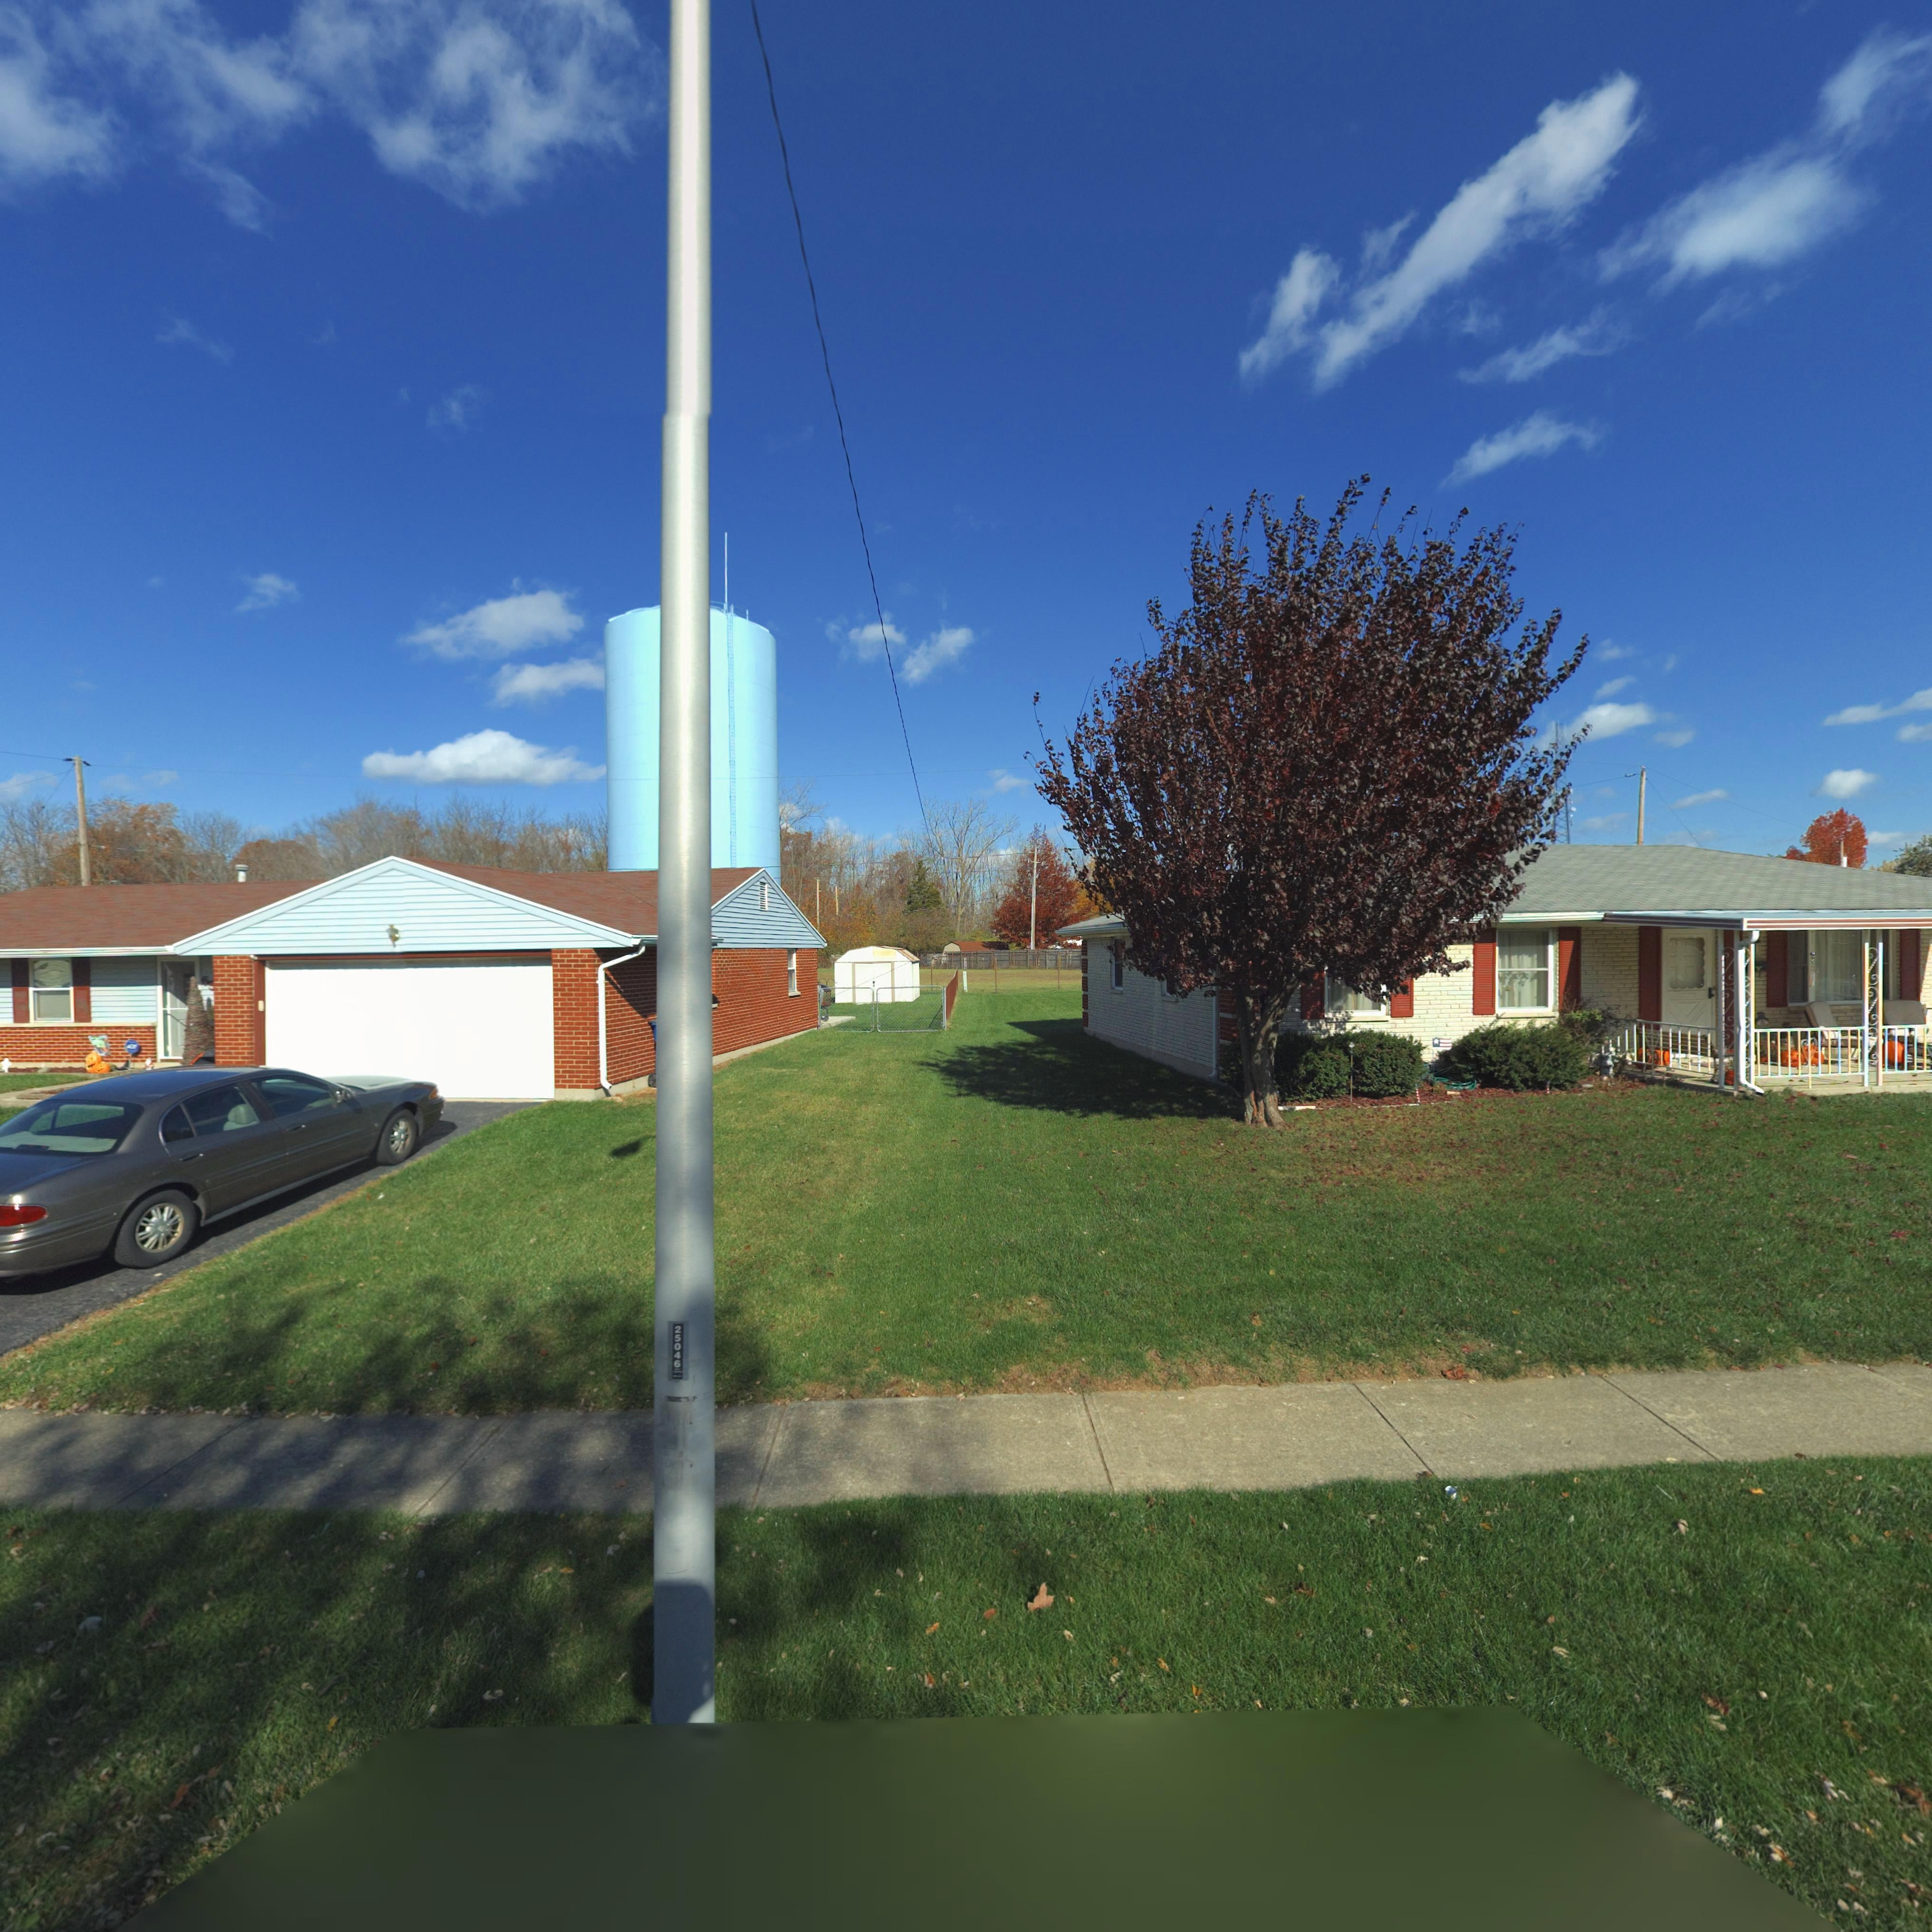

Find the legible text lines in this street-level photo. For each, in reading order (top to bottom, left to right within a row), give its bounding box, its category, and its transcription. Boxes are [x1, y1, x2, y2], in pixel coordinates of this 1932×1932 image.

[201, 976, 209, 986] StreetNumber: 6